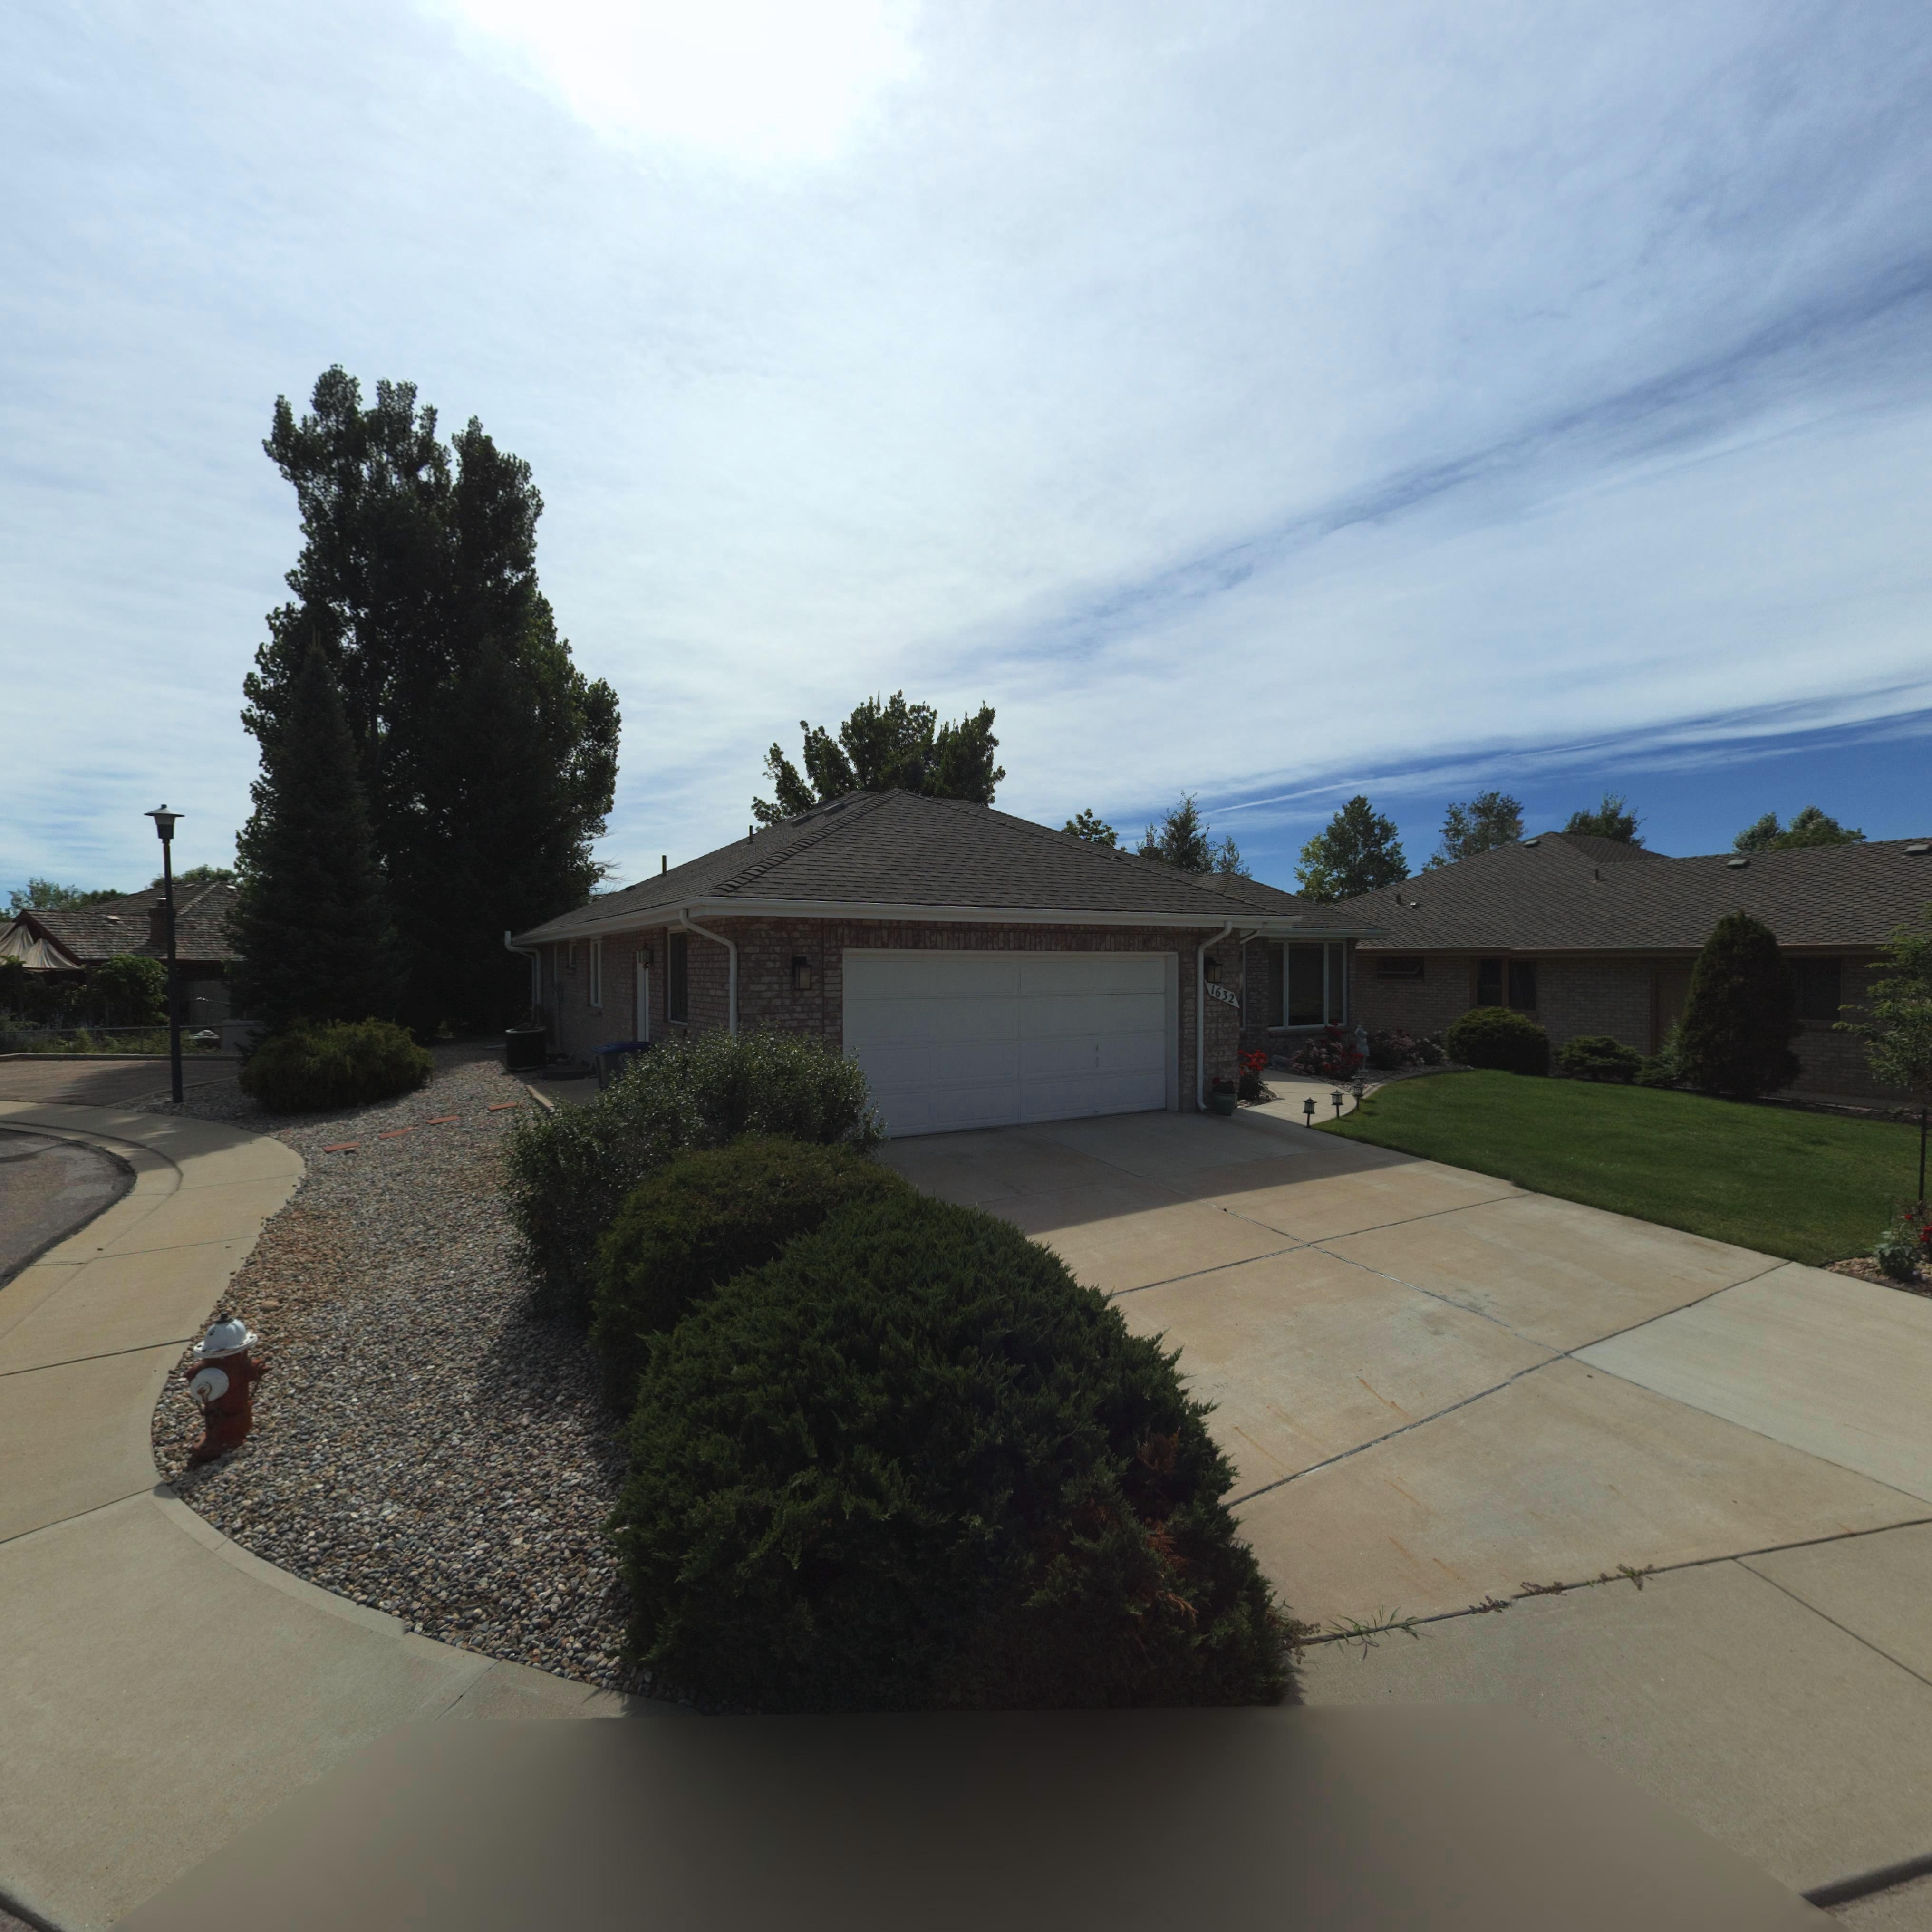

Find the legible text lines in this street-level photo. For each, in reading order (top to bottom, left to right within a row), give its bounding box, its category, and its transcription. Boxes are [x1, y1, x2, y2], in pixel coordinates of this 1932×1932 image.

[1210, 984, 1235, 1004] StreetNumber: 1632